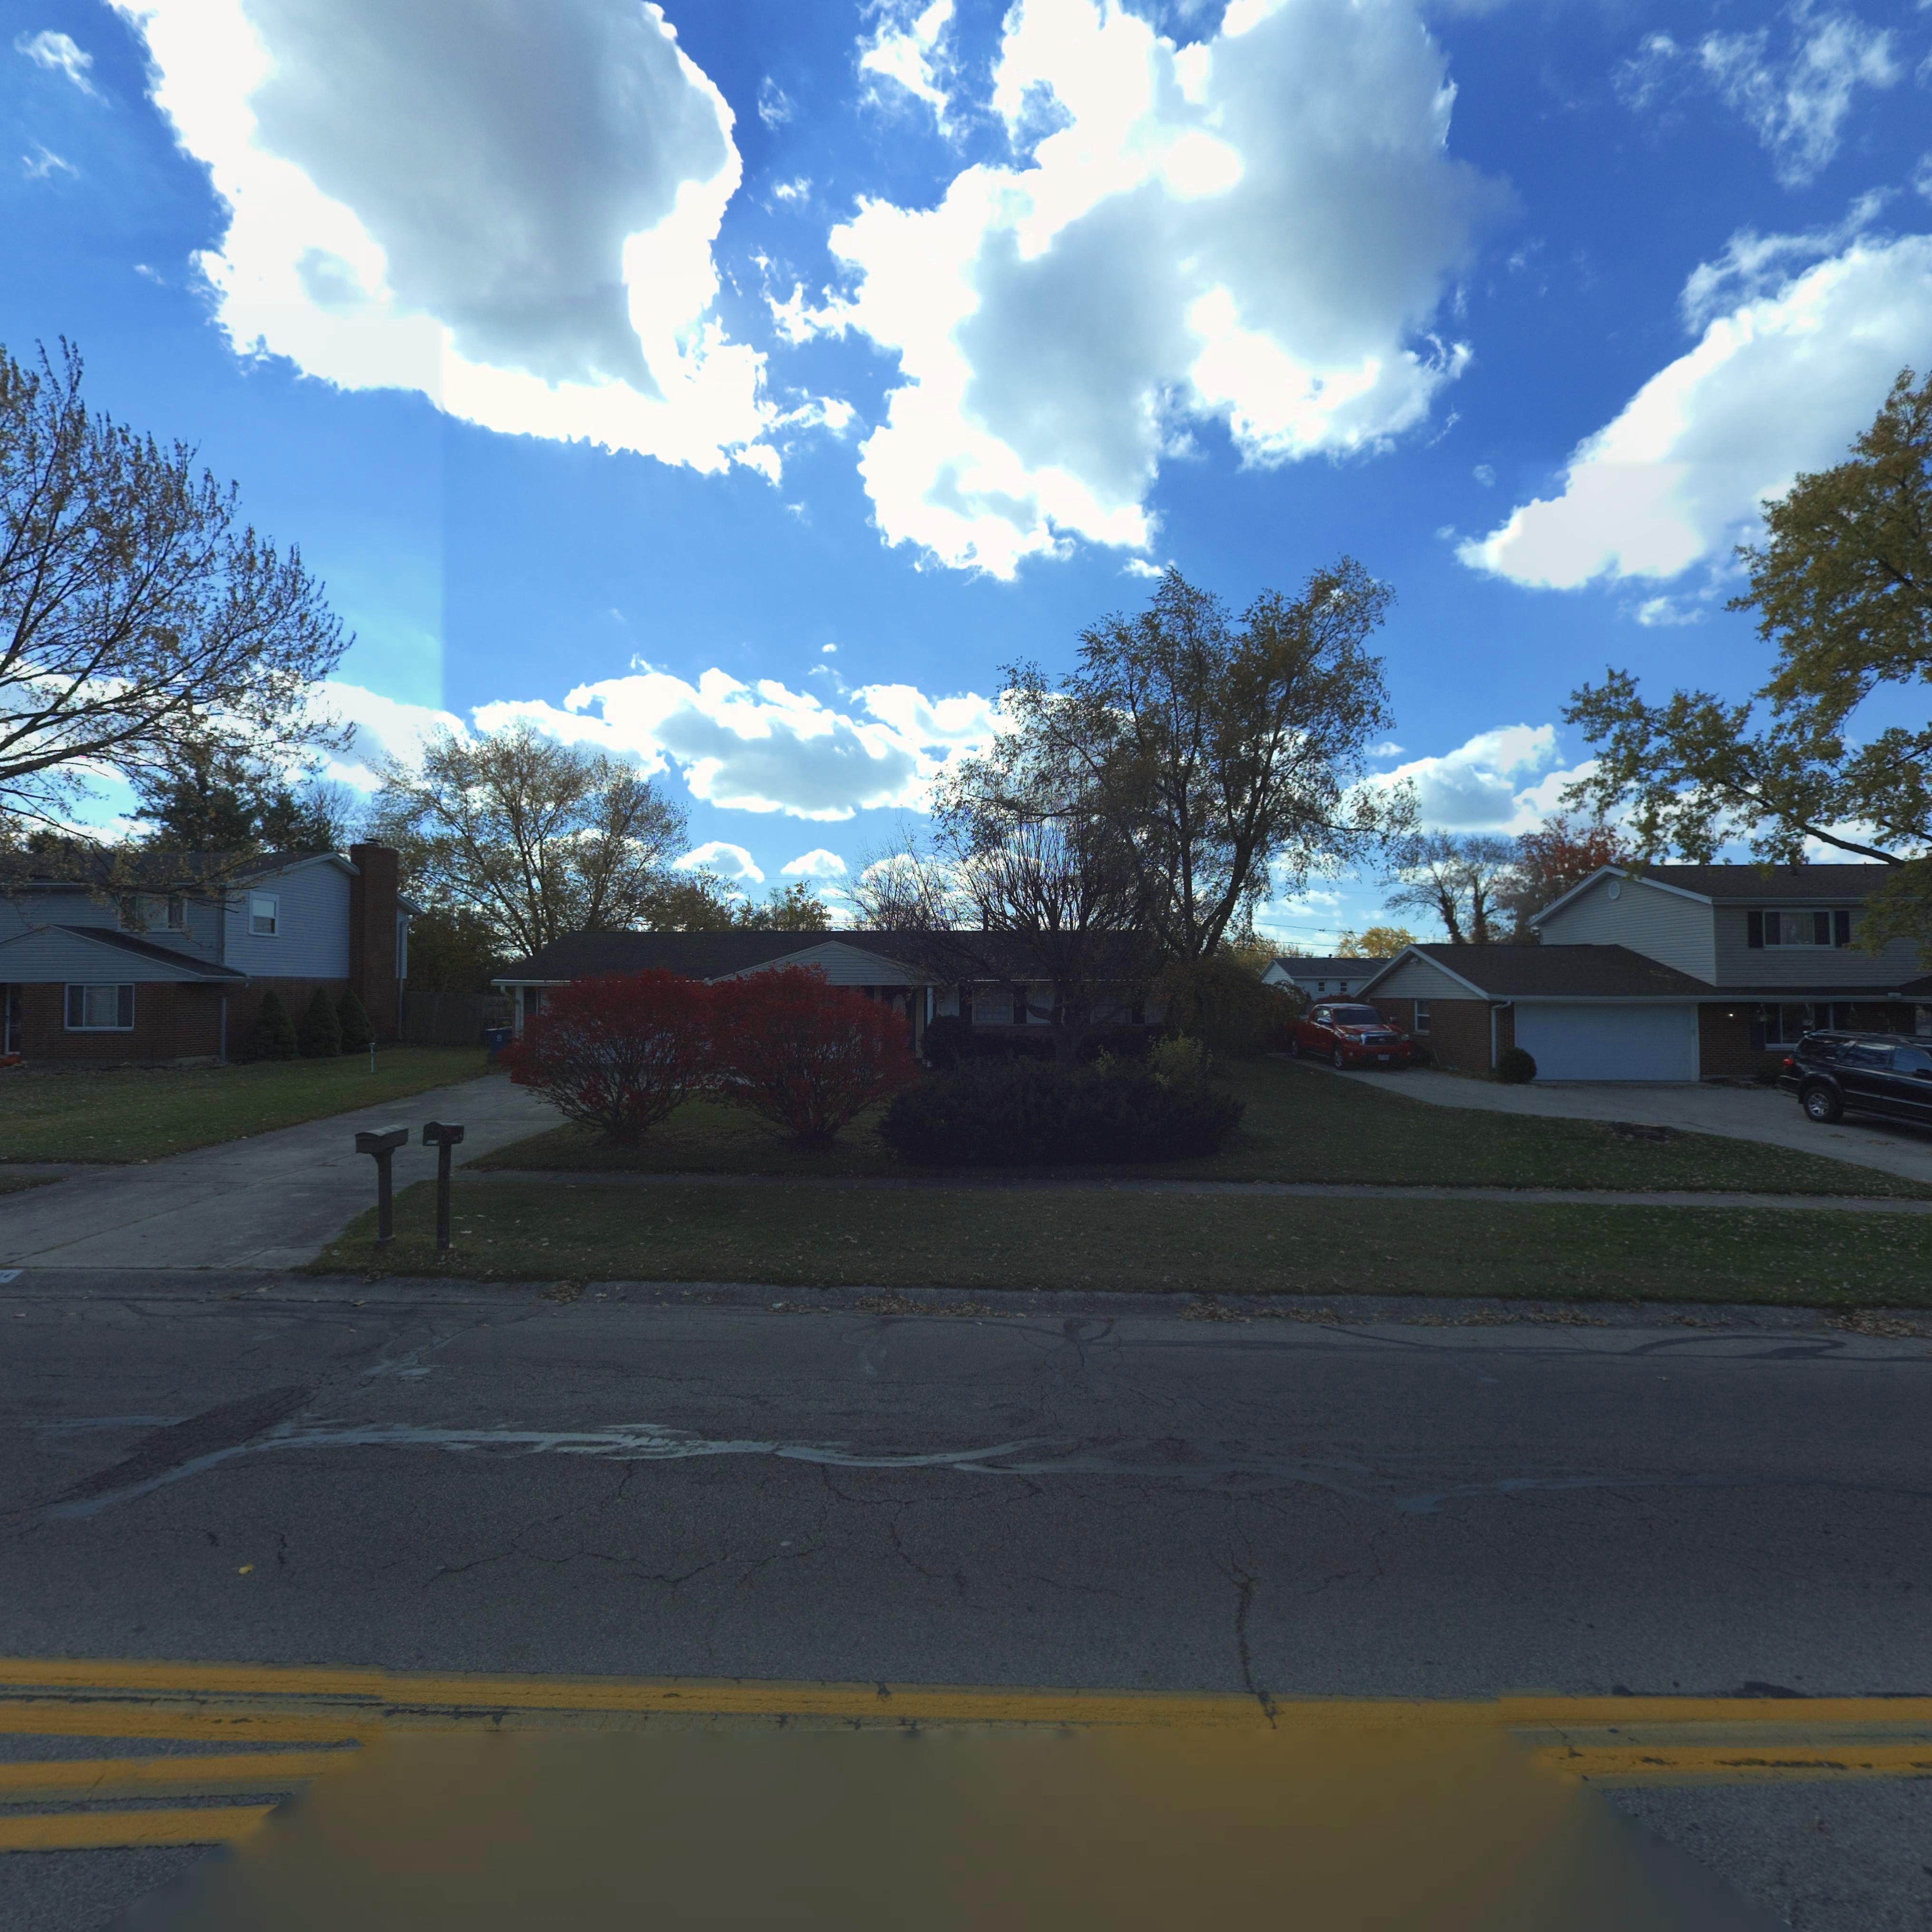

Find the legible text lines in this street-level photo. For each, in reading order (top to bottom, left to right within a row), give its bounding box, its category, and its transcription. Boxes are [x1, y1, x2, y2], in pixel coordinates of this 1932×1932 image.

[1878, 1010, 1897, 1034] StreetNumber: 630